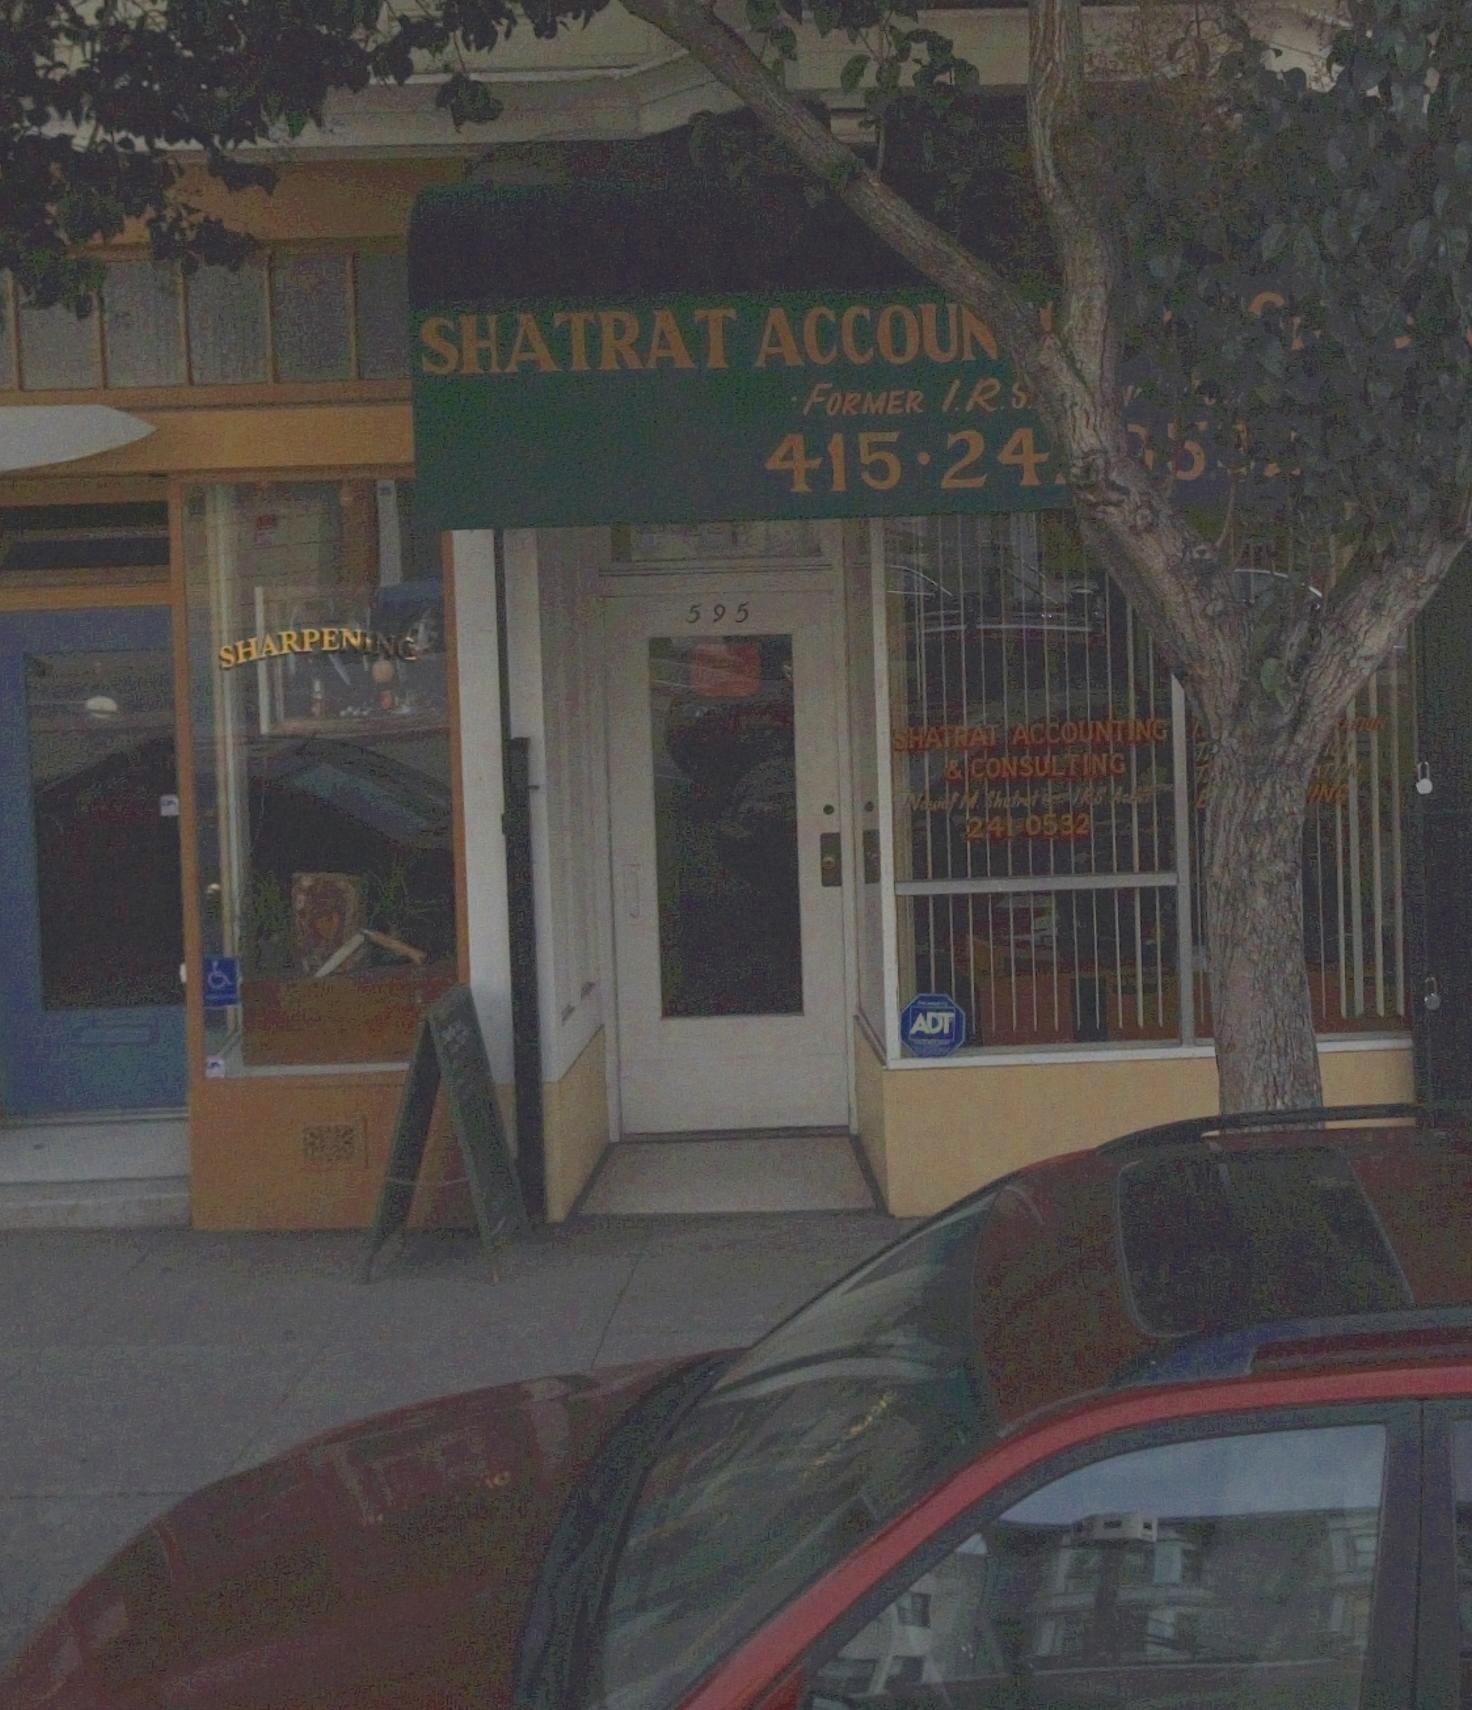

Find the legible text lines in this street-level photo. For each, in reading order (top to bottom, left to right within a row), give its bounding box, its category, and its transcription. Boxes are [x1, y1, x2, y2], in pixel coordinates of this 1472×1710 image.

[416, 301, 960, 379] BusinessName: SHATRAT ACCOU
[797, 375, 1008, 421] None: FORMER I.R.
[757, 424, 1056, 495] None: 415*24
[683, 600, 752, 626] StreetNumber: 595
[215, 625, 424, 673] BusinessName: SHARPENING
[890, 716, 1171, 753] BusinessName: SHATRAT ACCOUNTING
[967, 751, 1128, 782] BusinessName: CONSULTING
[964, 811, 1093, 841] None: 241-0532
[905, 1010, 958, 1037] None: ADT